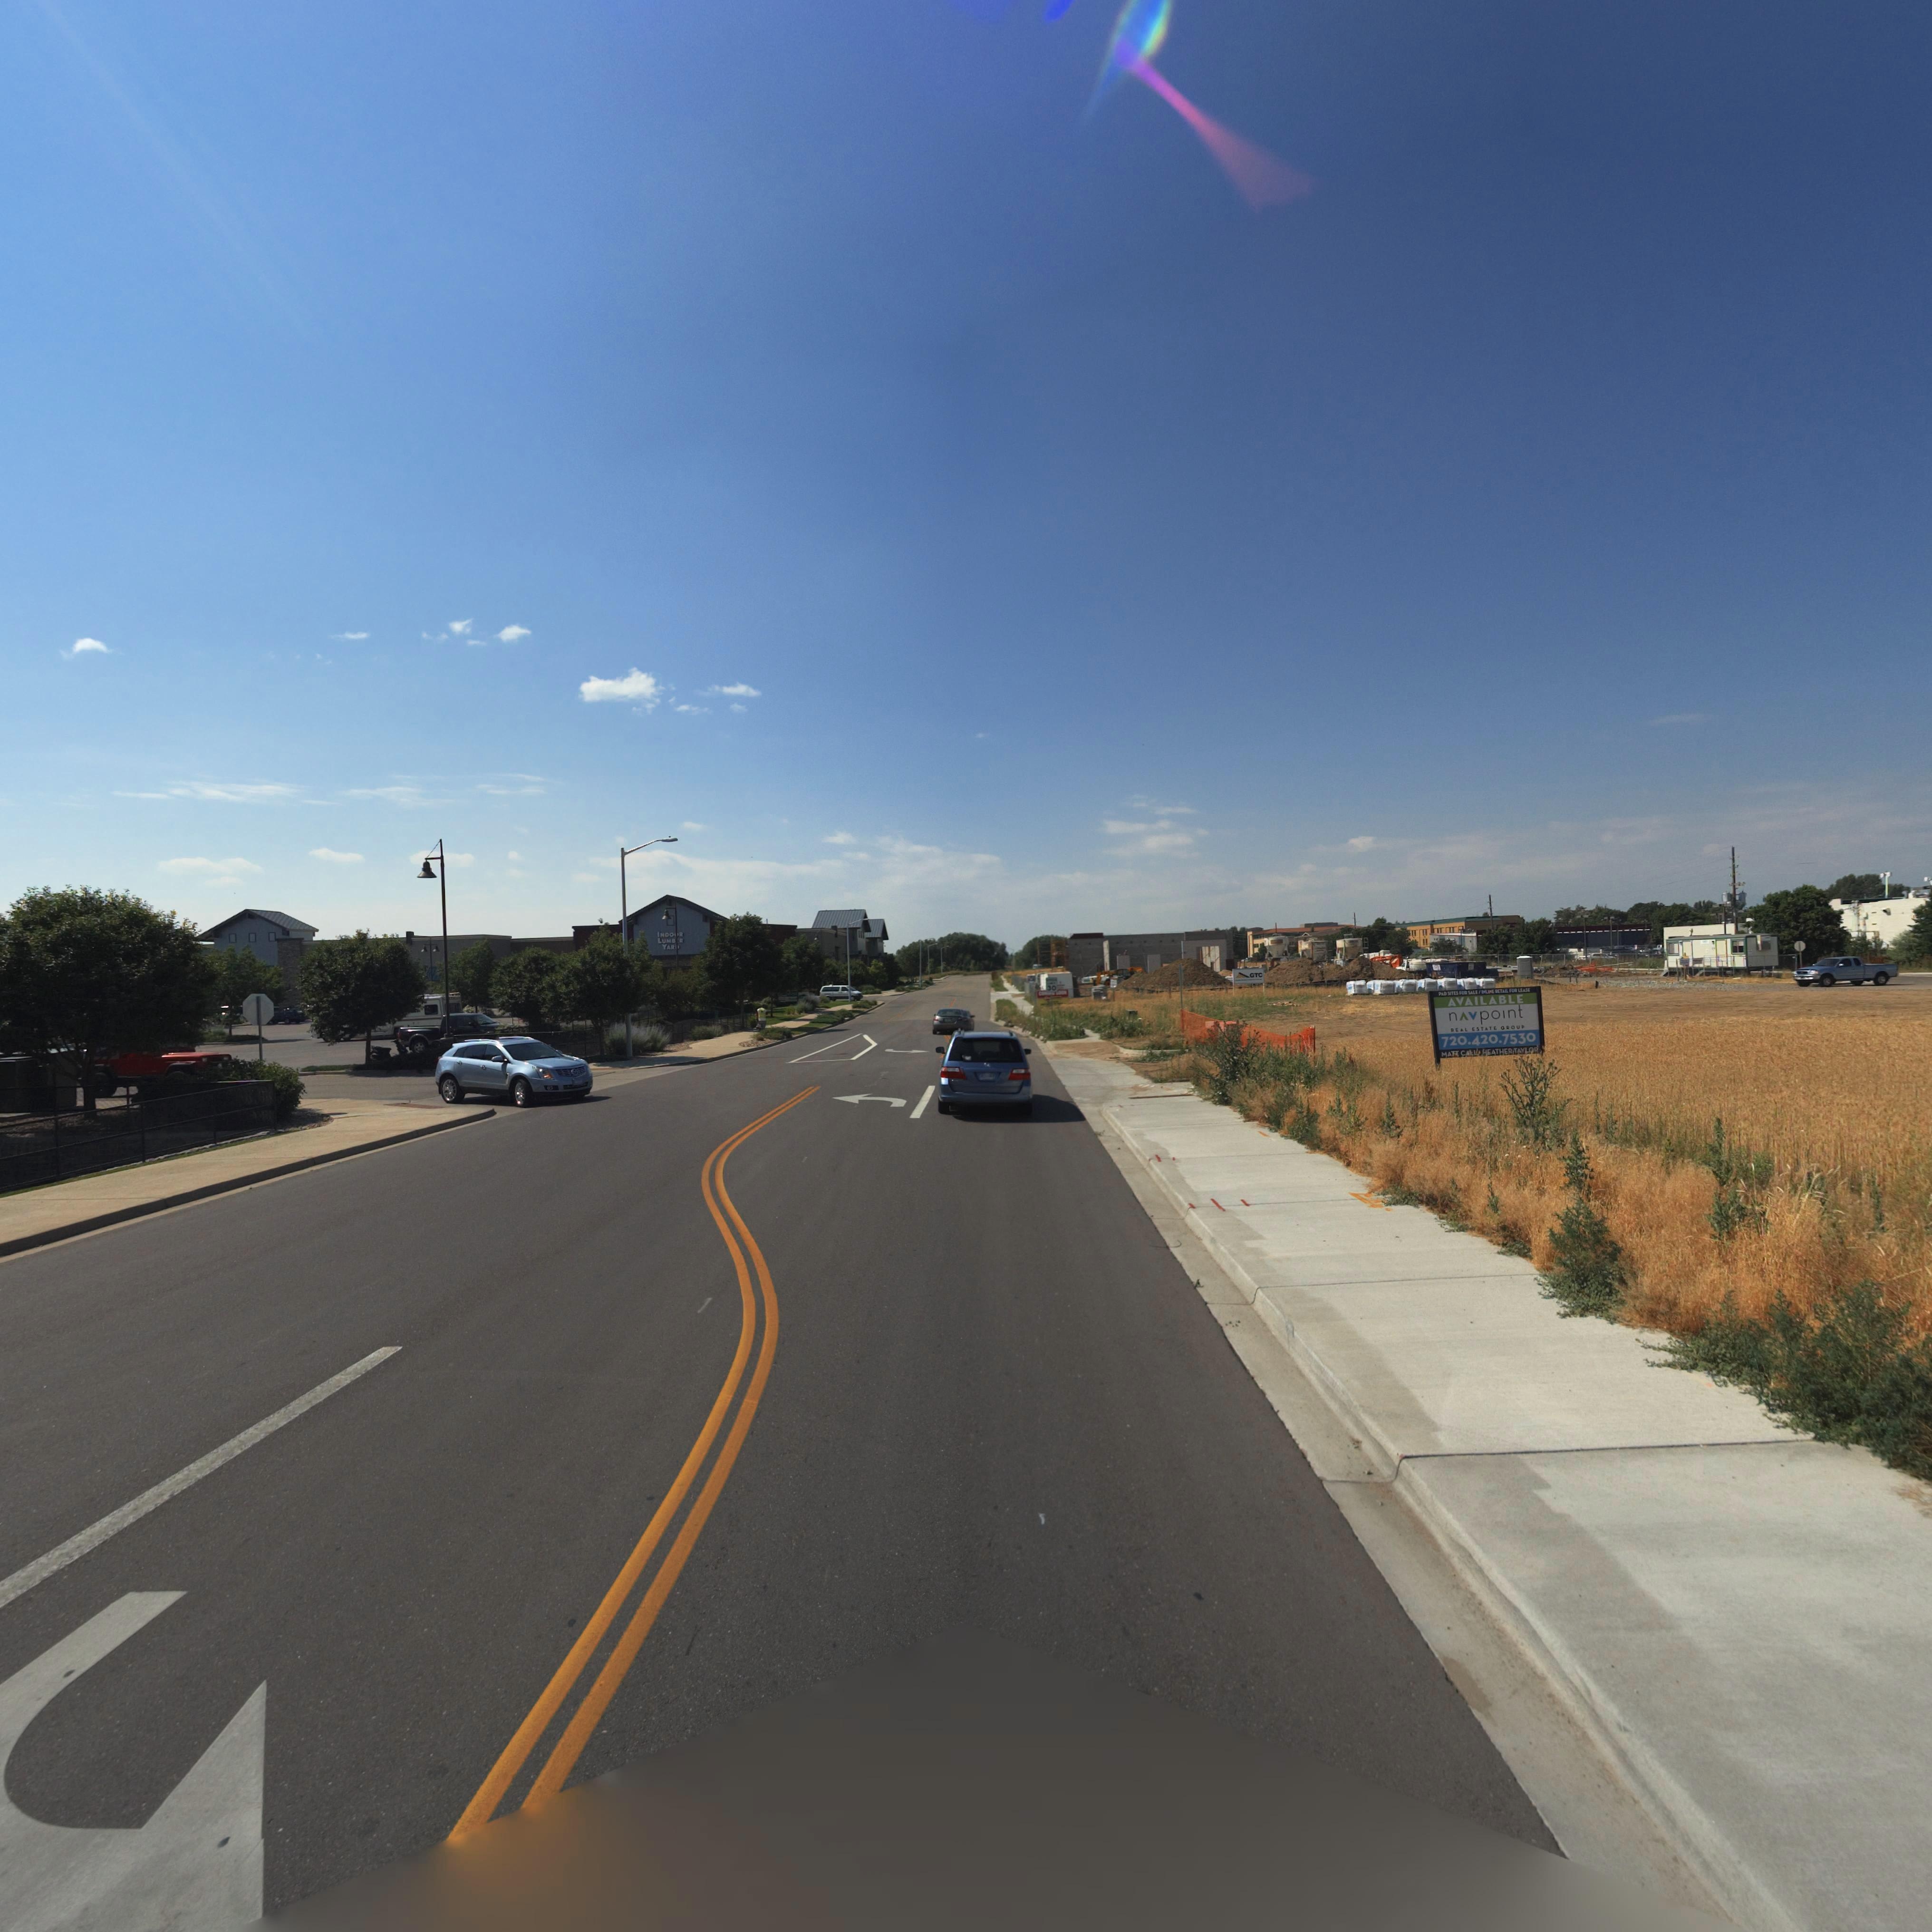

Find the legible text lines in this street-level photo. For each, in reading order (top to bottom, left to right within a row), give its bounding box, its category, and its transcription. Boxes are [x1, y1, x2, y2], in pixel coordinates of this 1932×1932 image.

[657, 931, 684, 937] BusinessName: INDO*R
[657, 937, 684, 944] BusinessName: LUMB*R
[660, 943, 681, 951] BusinessName: YAR*